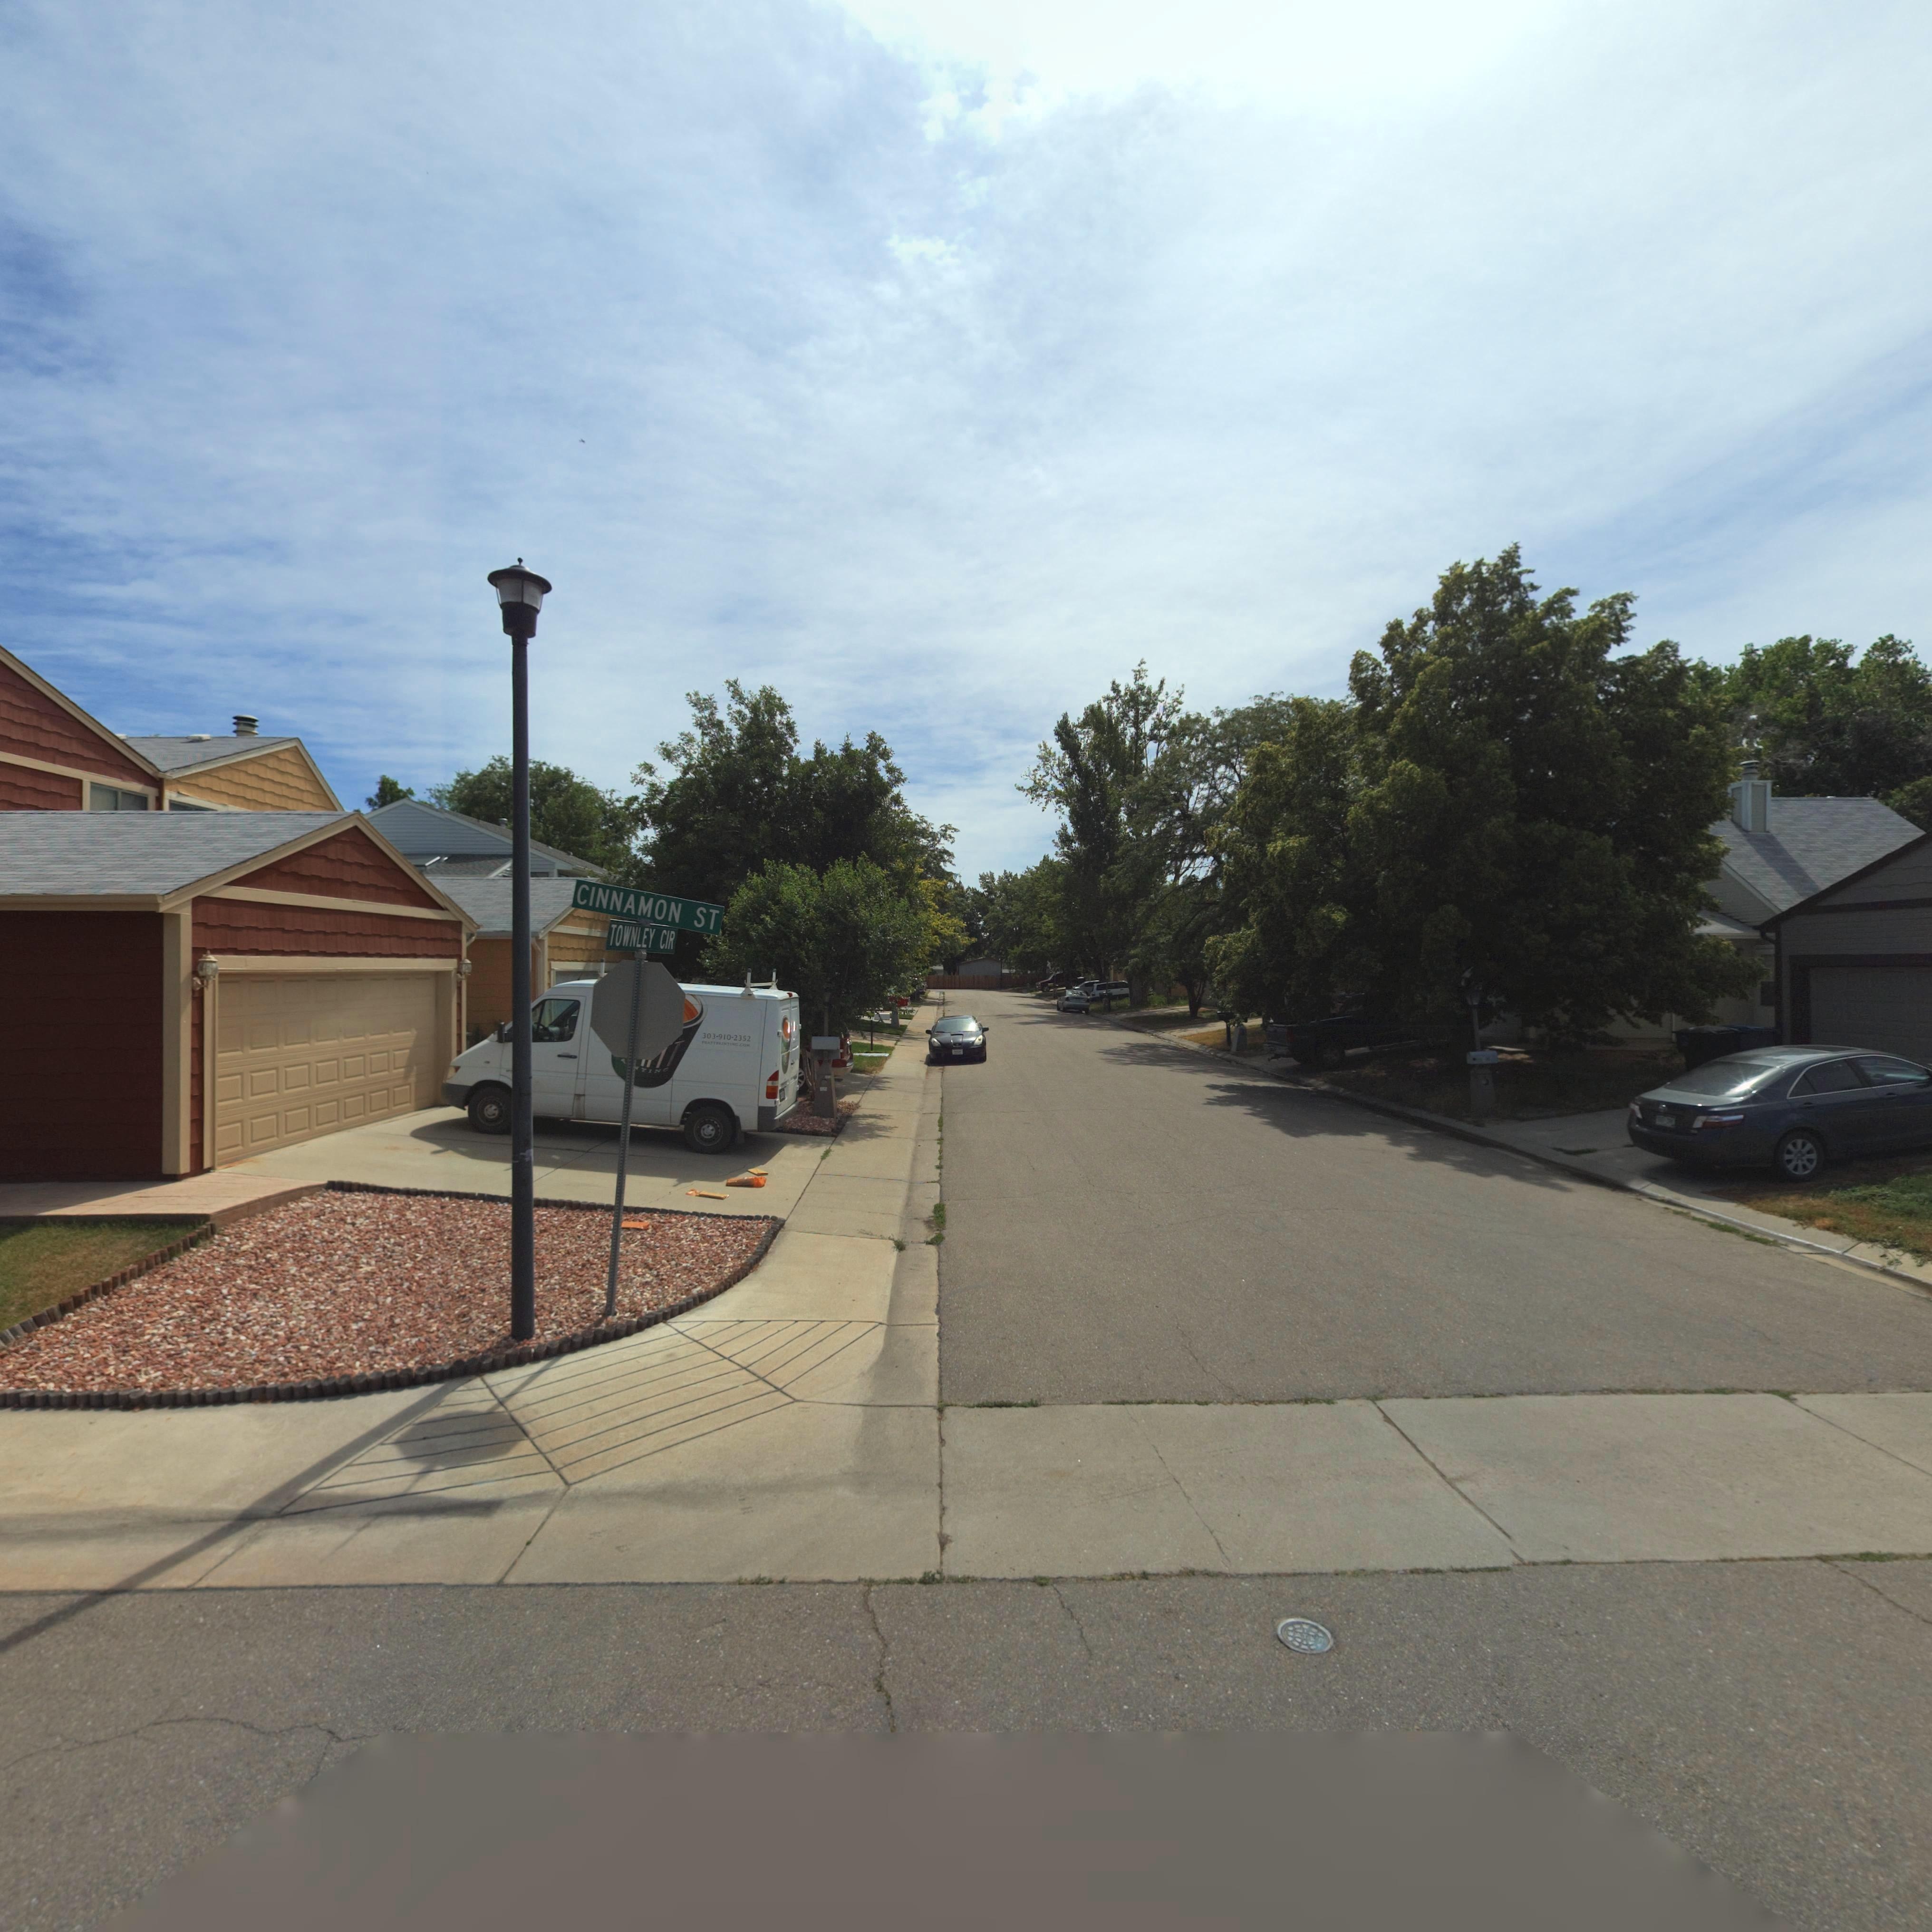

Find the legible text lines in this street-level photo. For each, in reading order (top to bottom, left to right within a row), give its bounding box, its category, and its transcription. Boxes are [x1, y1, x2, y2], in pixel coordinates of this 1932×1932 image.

[576, 883, 720, 930] StreetName: CINNAMON ST
[609, 923, 676, 950] StreetName: TOWNLEY CIR